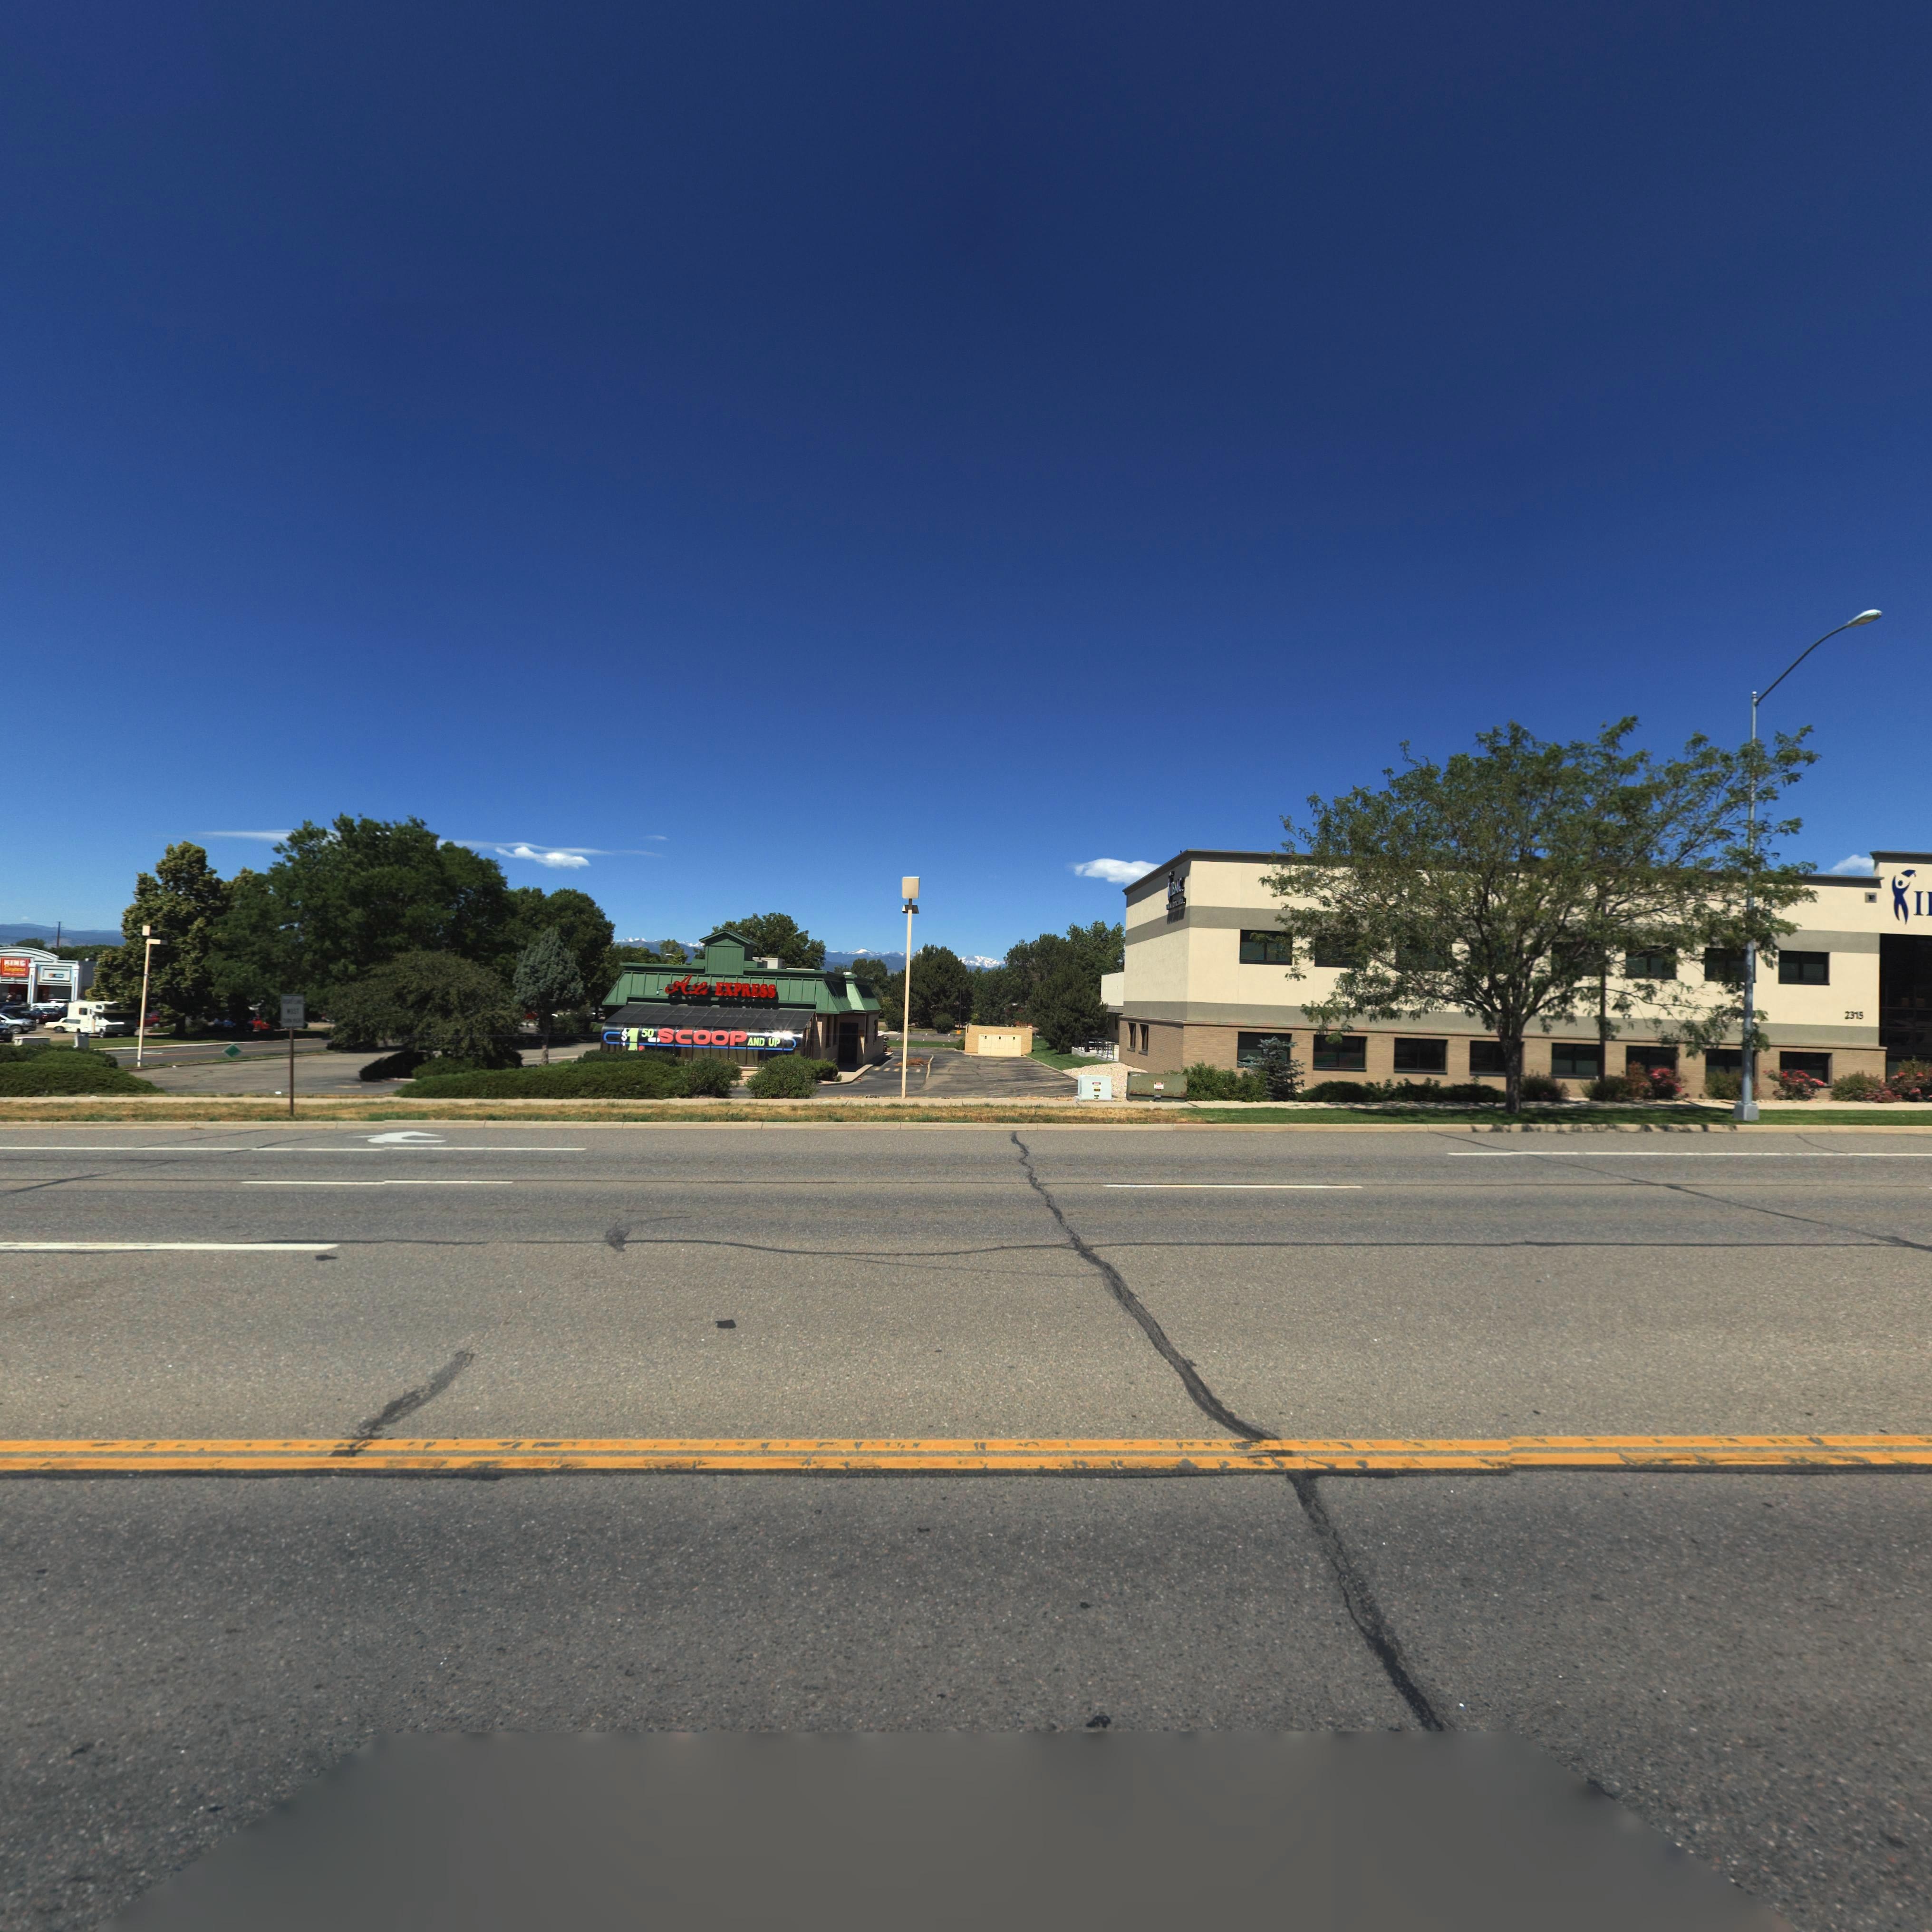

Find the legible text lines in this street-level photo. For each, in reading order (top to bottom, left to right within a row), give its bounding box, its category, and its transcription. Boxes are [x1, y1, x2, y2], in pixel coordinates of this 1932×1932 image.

[1170, 876, 1184, 896] BusinessName: IBMC
[1913, 890, 1924, 916] BusinessName: I
[3, 959, 26, 967] BusinessName: KING
[666, 973, 712, 995] BusinessName: A li
[715, 981, 776, 999] BusinessName: EXPRESS
[1844, 1010, 1864, 1019] StreetNumber: 2315